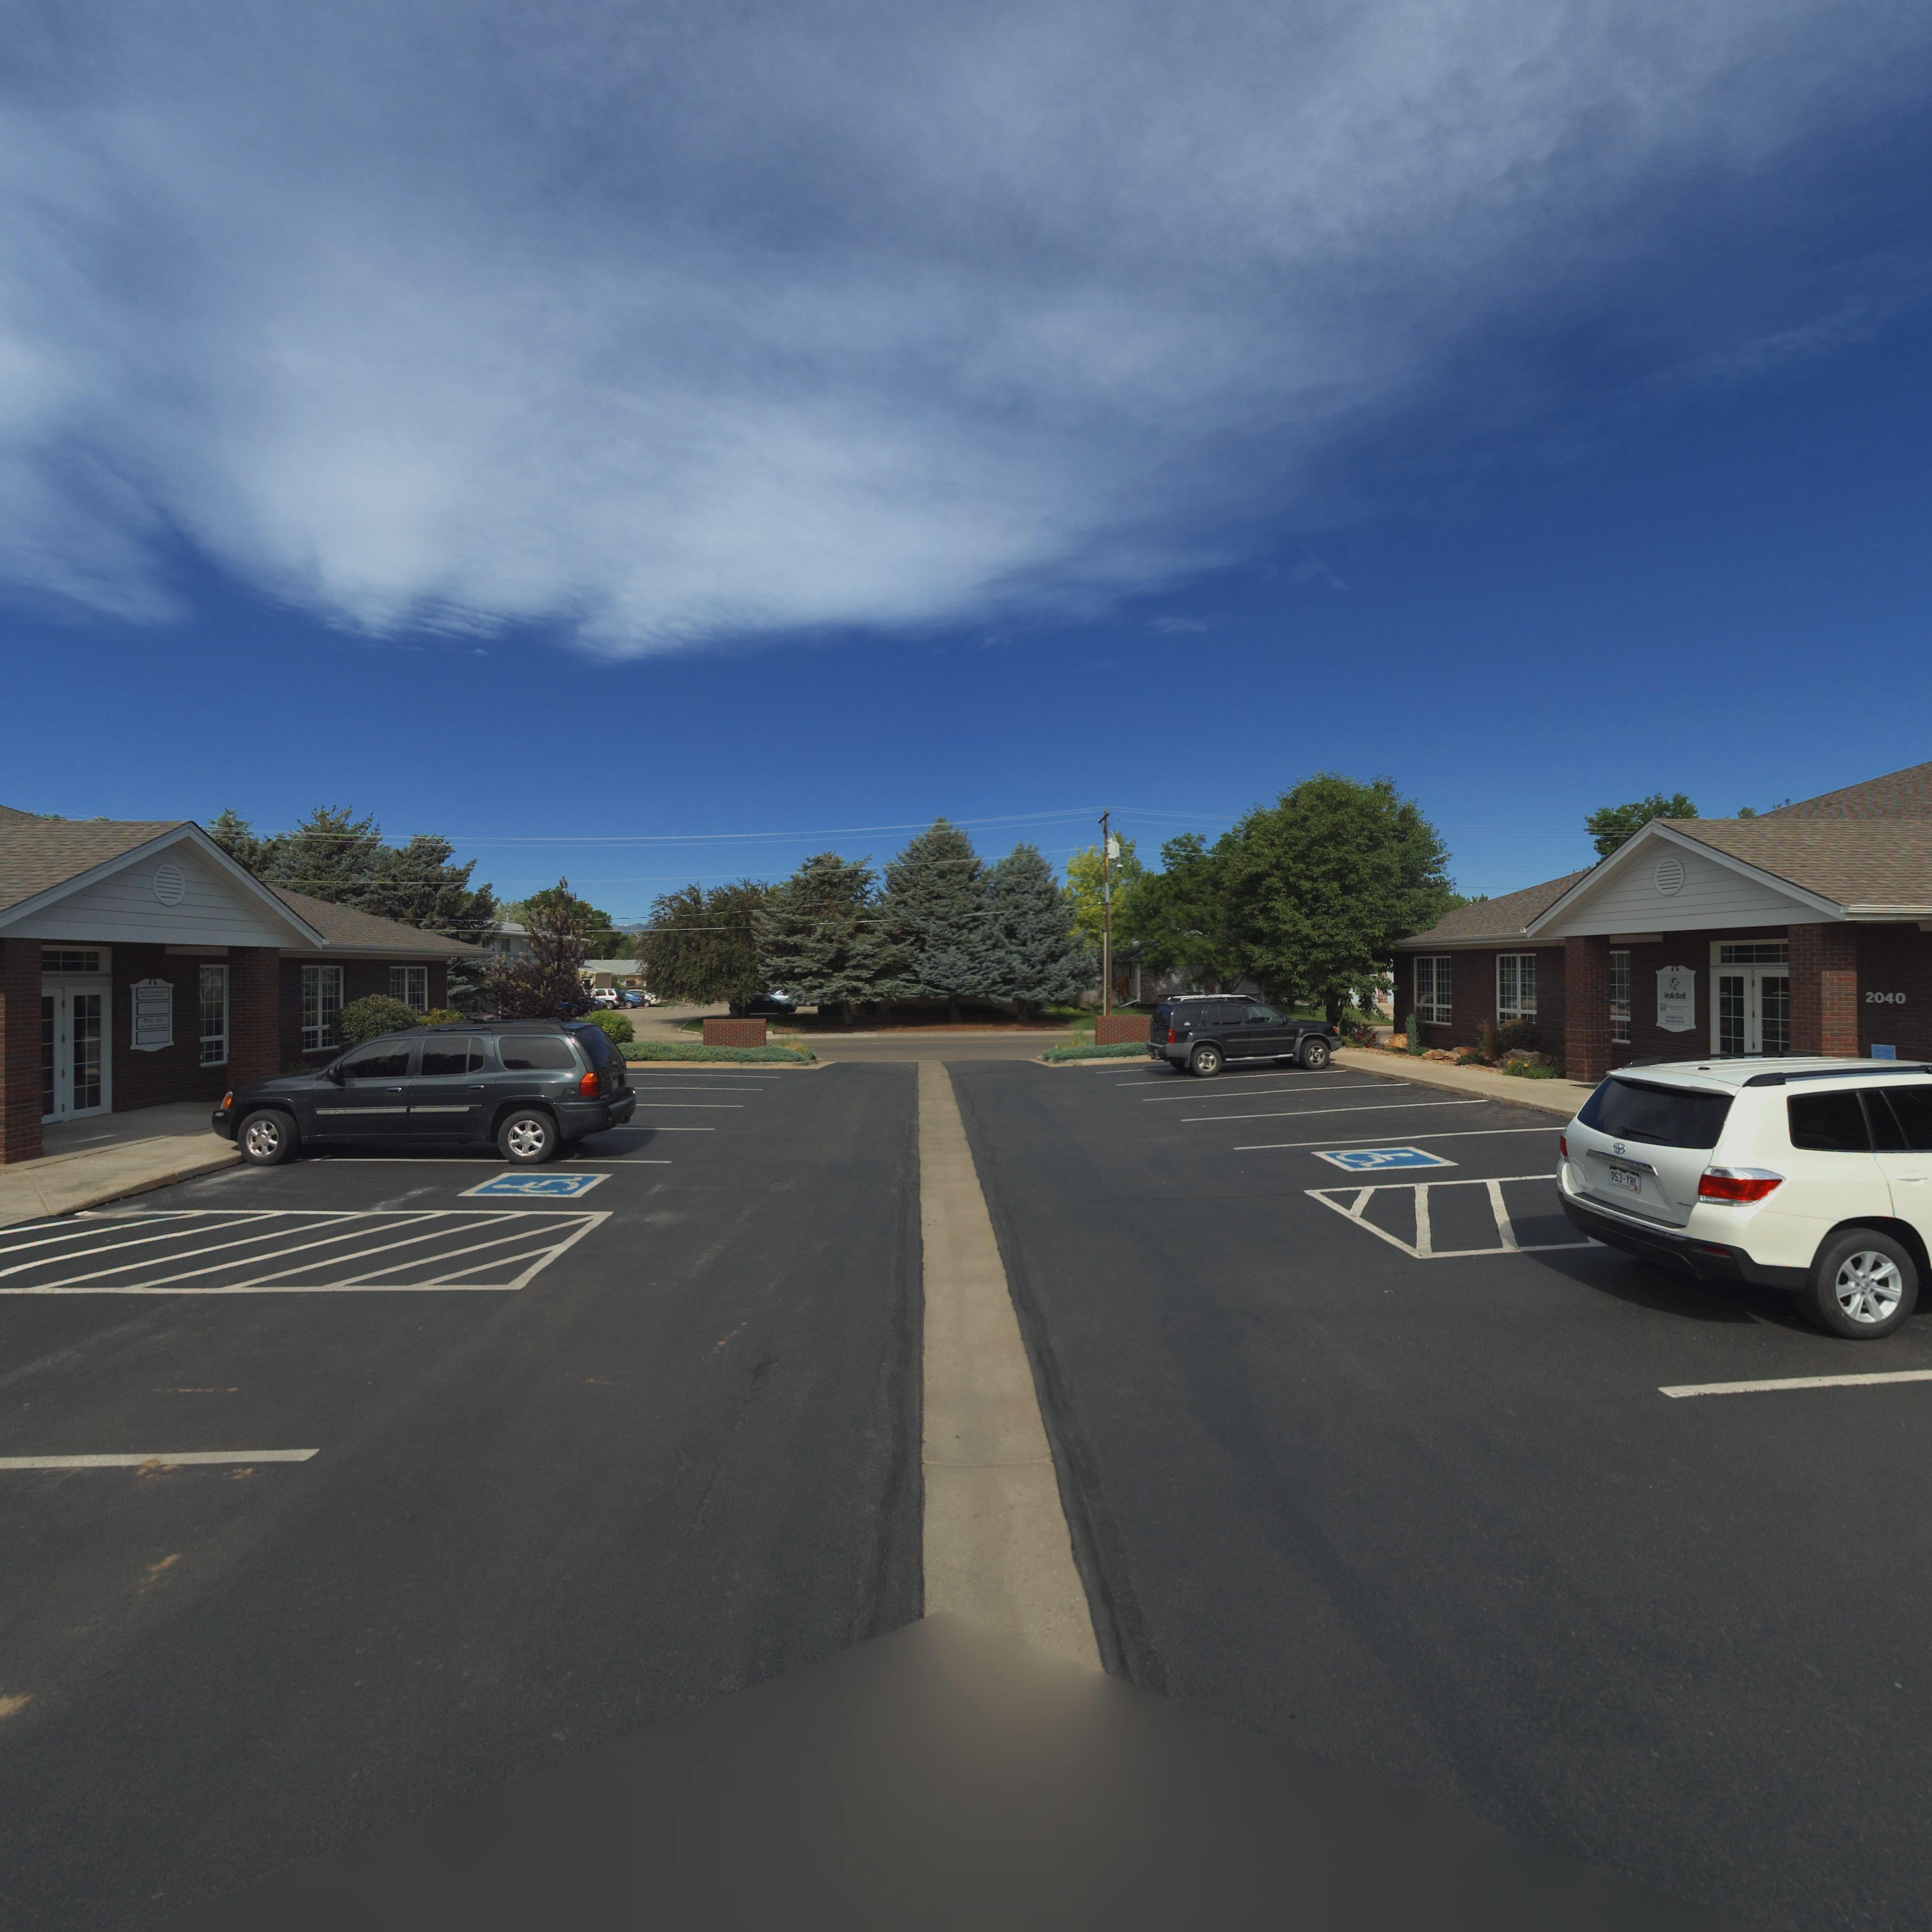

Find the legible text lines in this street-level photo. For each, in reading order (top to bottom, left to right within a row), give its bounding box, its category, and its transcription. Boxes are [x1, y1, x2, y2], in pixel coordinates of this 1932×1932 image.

[1670, 978, 1680, 989] BusinessName: VB
[1663, 992, 1687, 999] BusinessName: Volk Bell
[1864, 991, 1906, 1005] StreetNumber: 2040